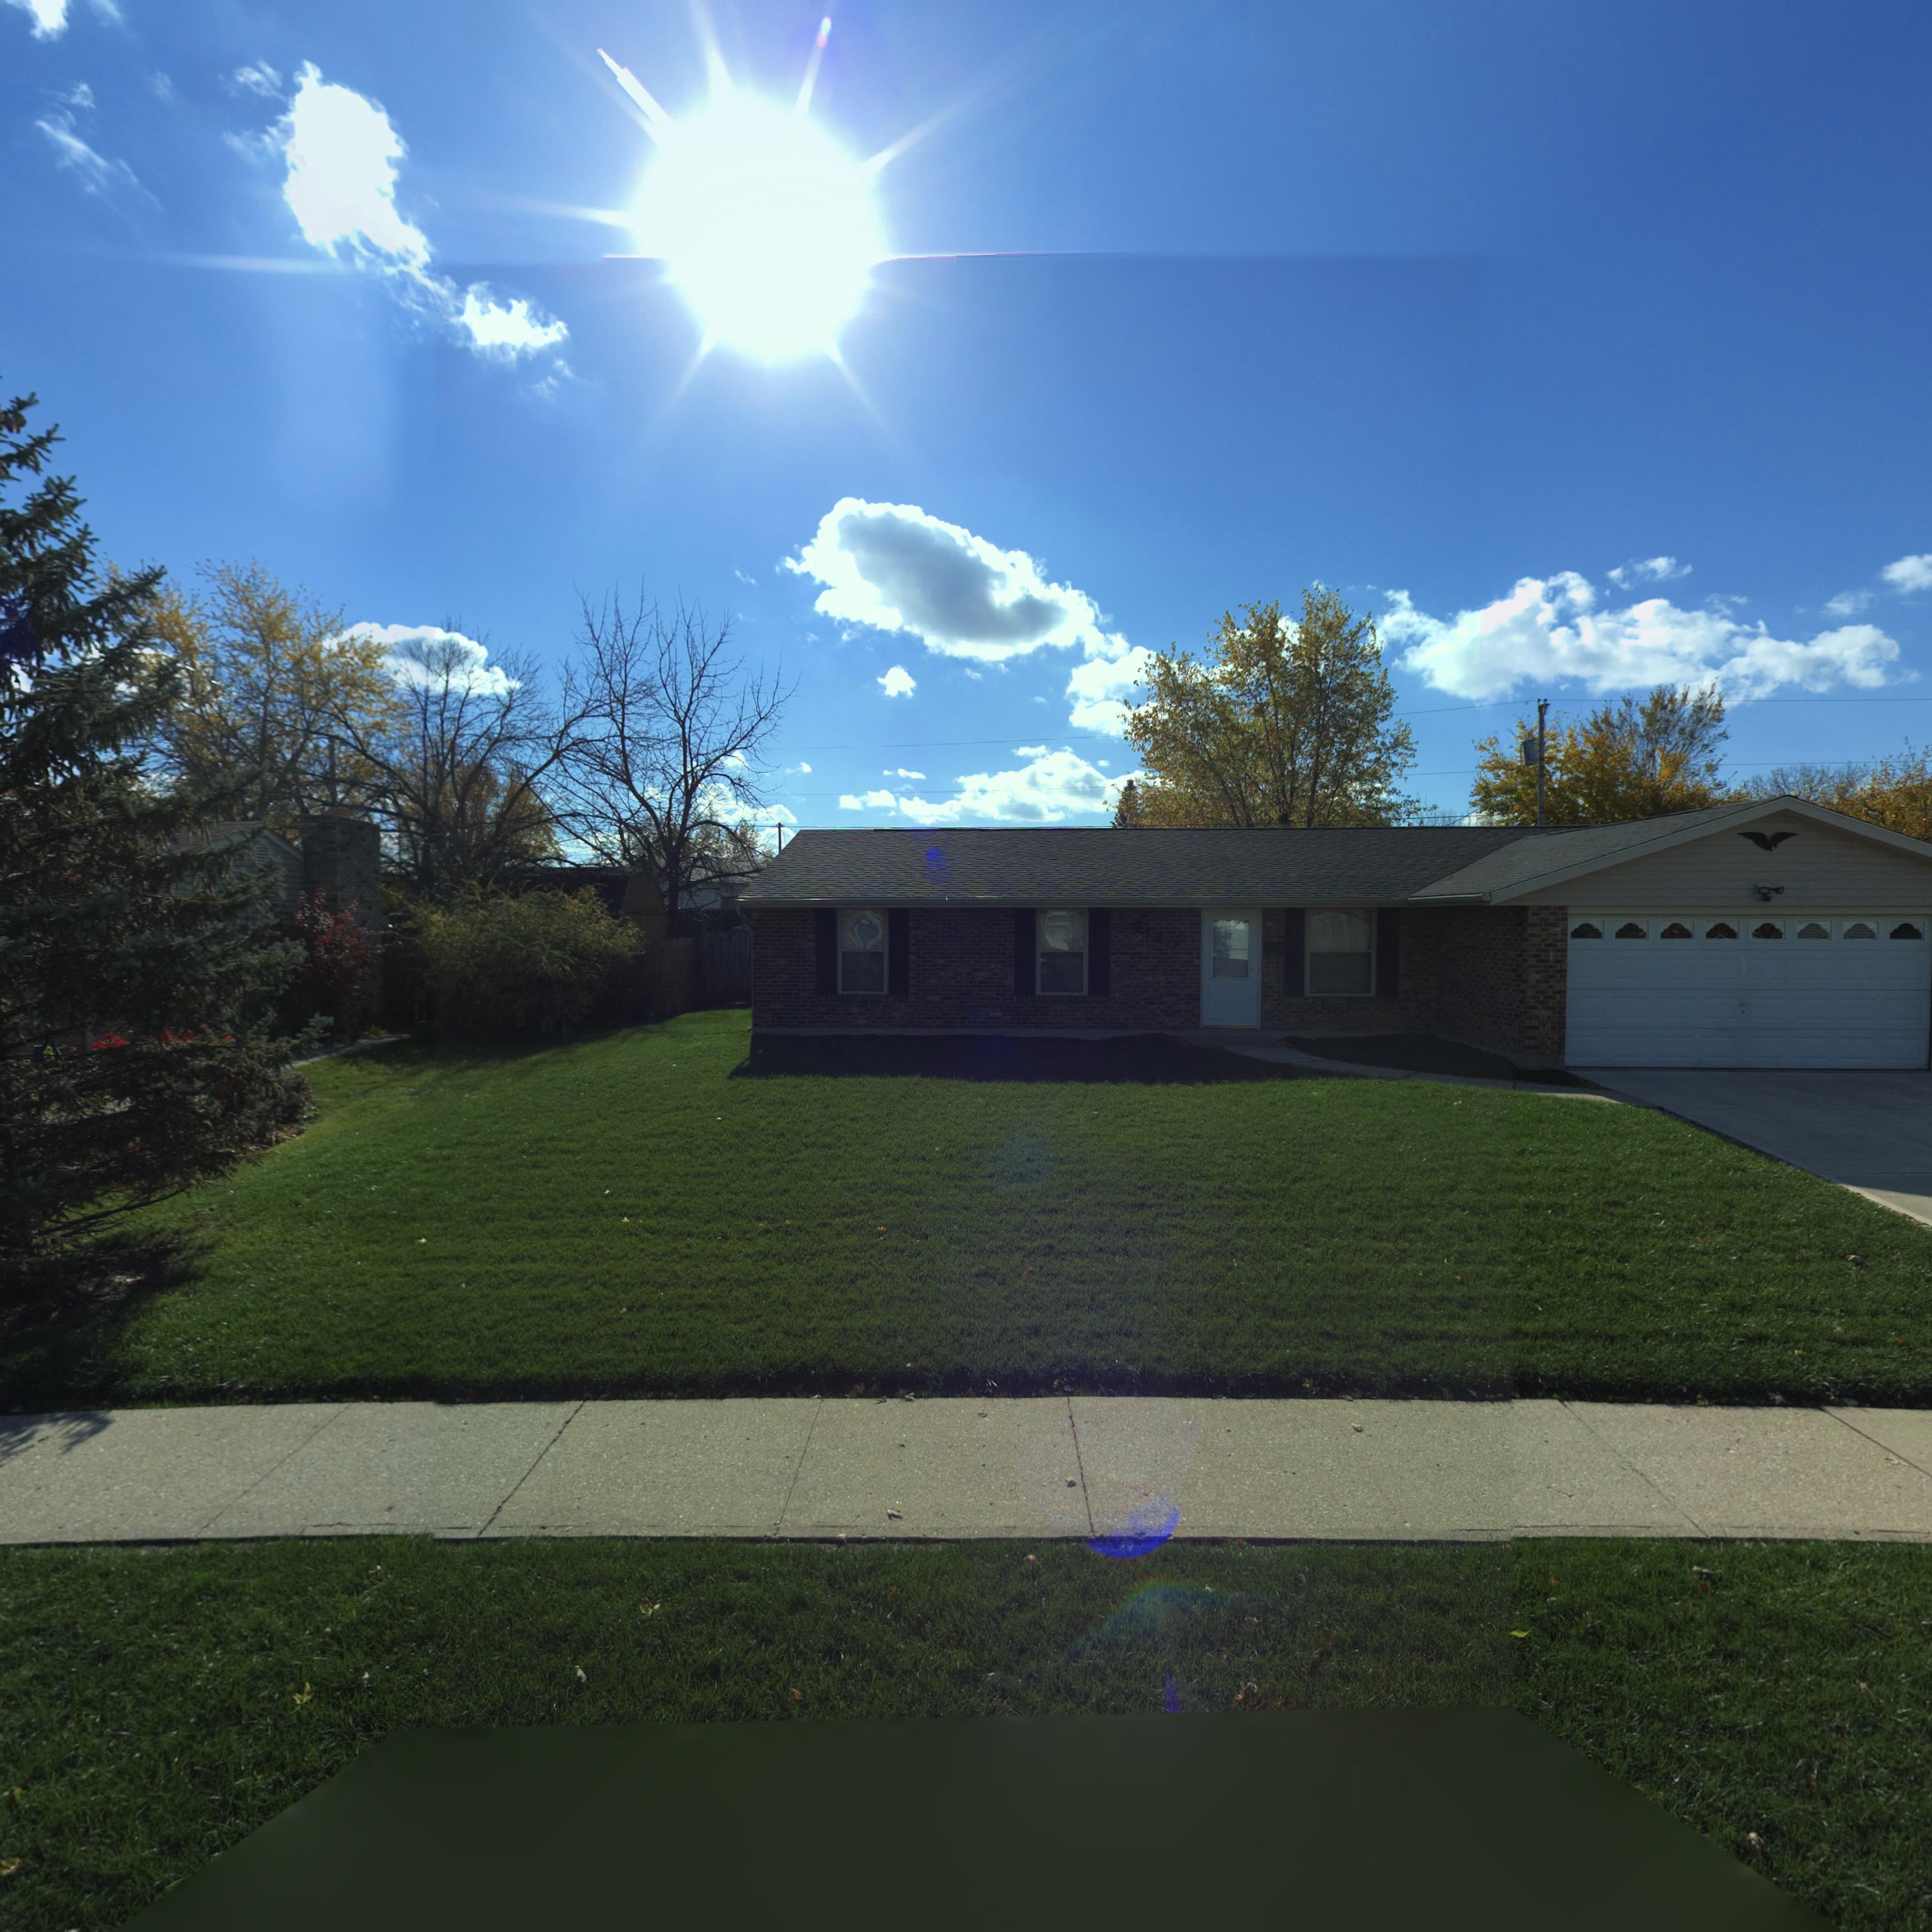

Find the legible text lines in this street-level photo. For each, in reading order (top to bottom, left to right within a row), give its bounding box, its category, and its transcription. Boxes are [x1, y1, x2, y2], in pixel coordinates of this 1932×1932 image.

[1133, 919, 1179, 952] StreetNumber: 7*40